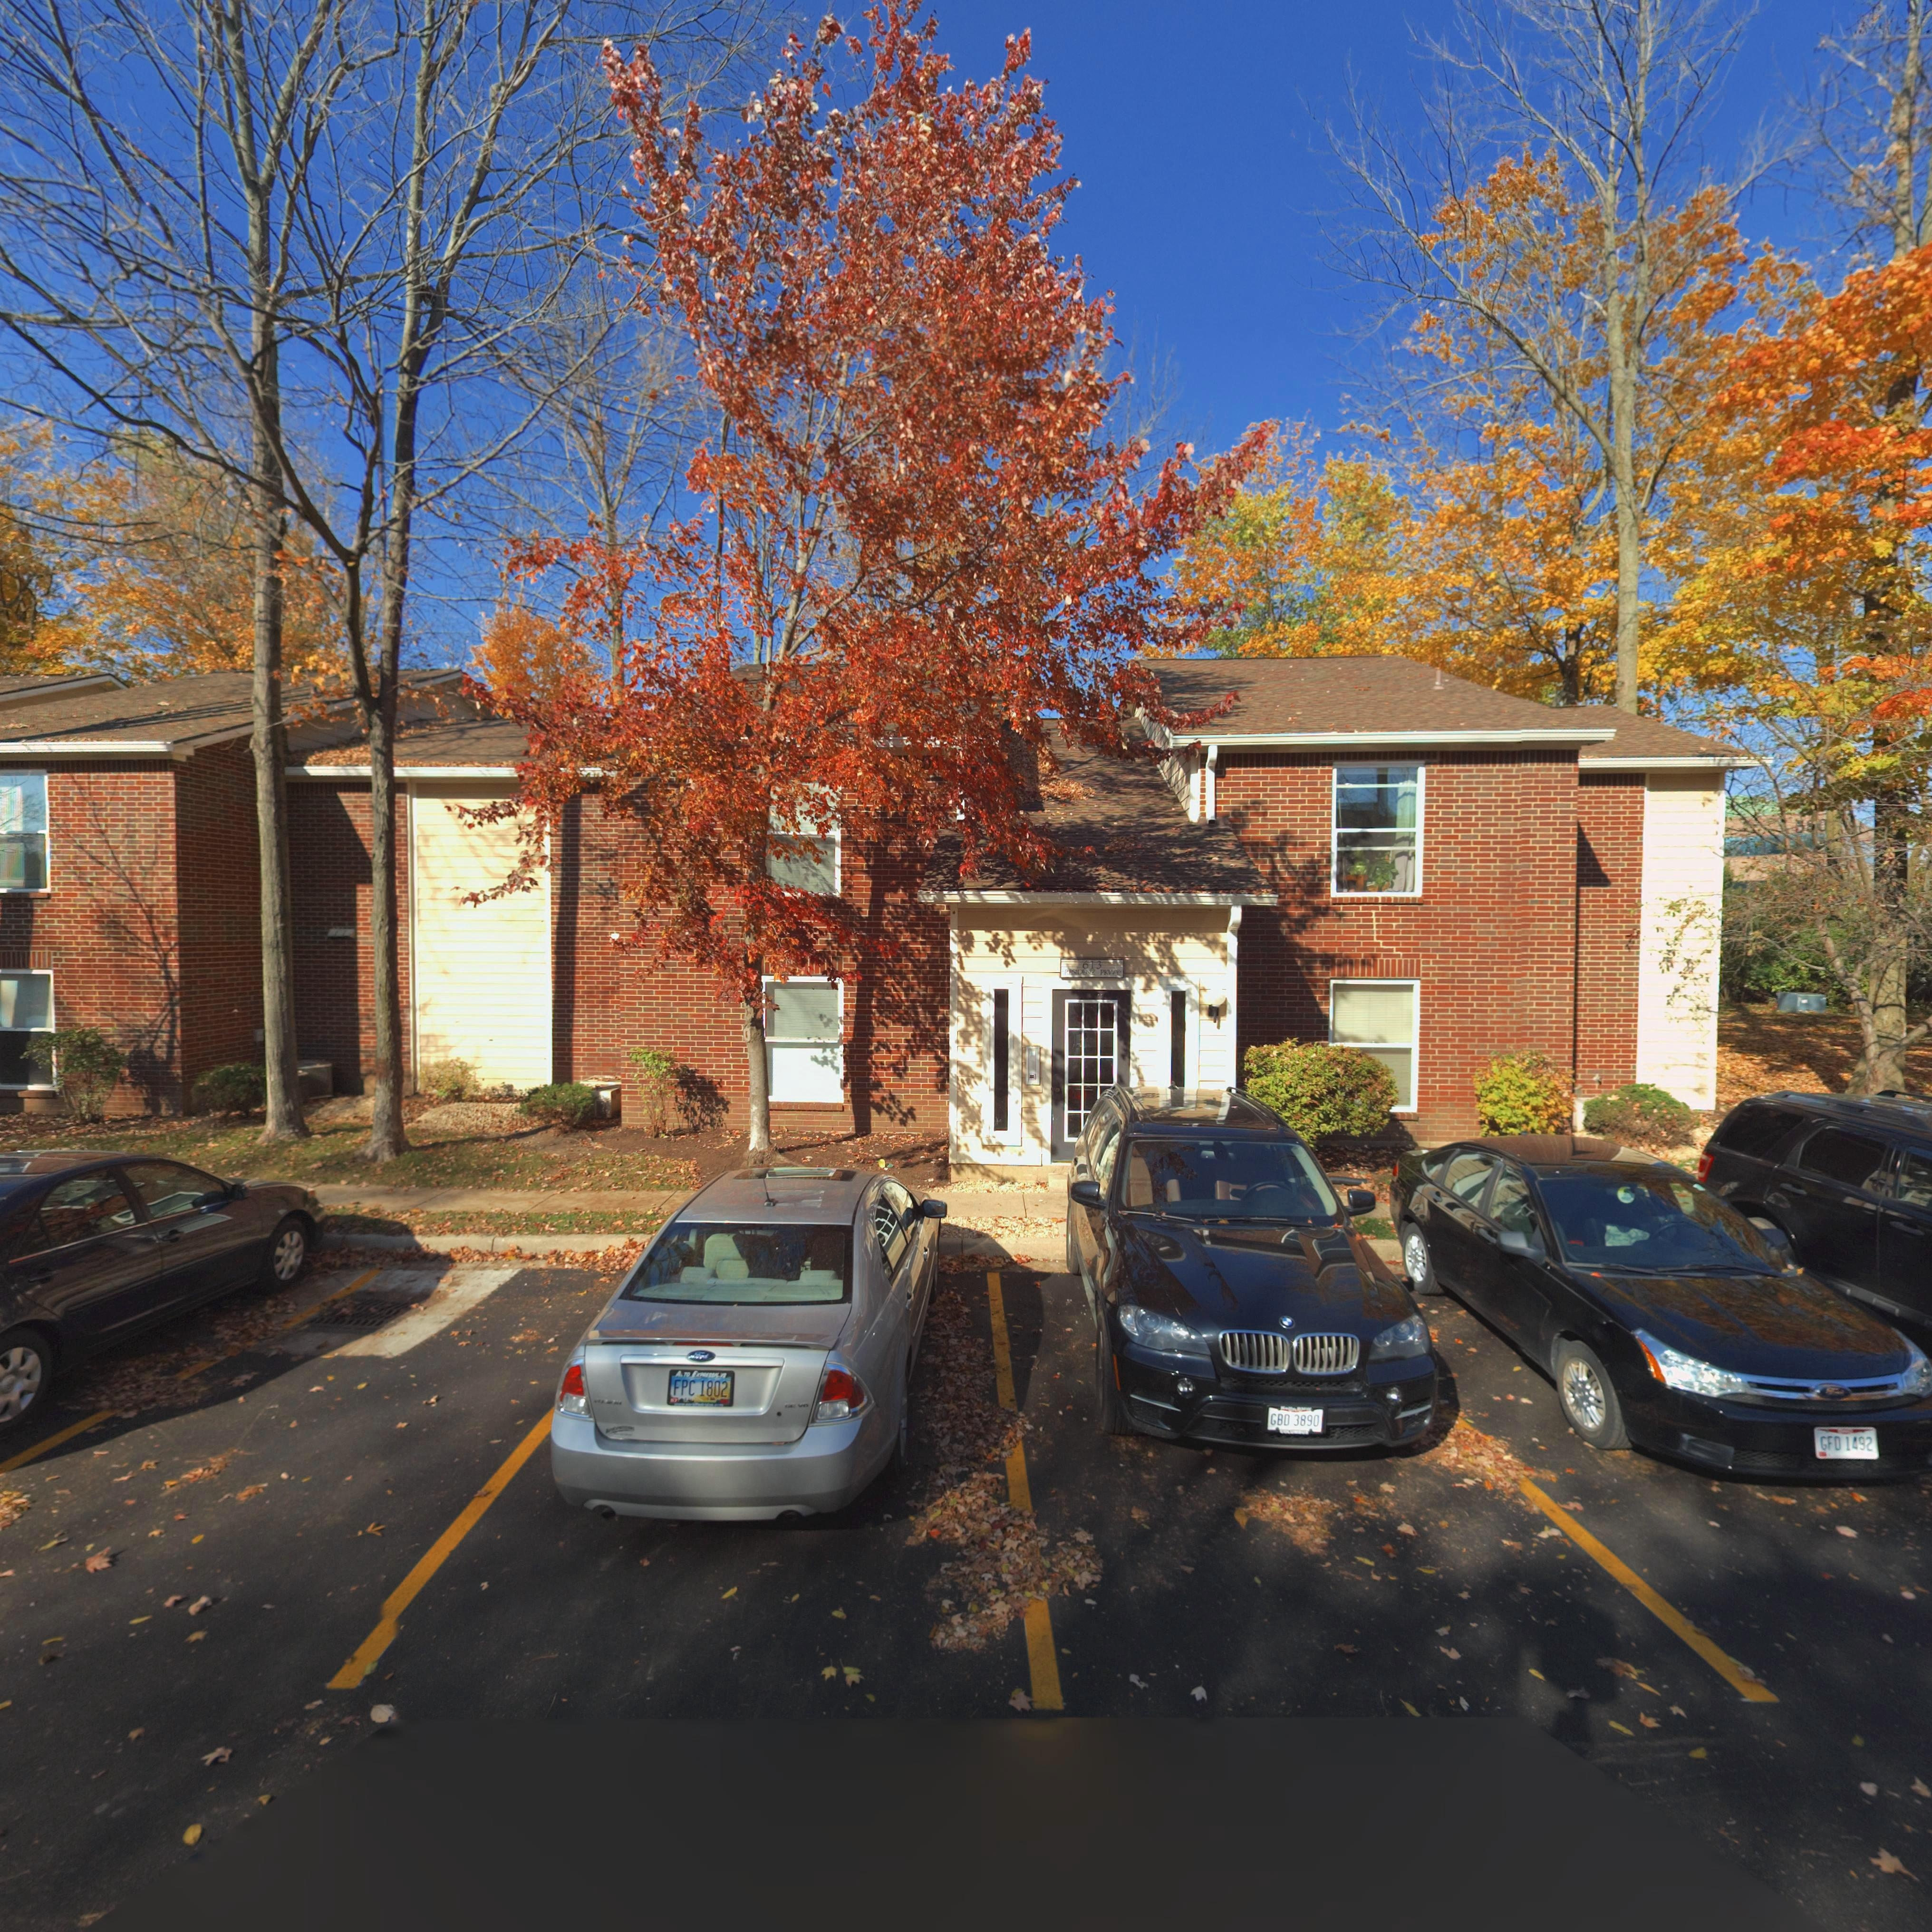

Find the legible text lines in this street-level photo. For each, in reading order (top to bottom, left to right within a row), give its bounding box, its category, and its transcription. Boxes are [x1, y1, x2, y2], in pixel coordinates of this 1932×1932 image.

[1082, 959, 1103, 970] StreetNumber: 613
[1064, 968, 1121, 976] StreetName: RESIDENZ PKWY
[672, 1378, 729, 1399] None: FPC 1802
[1269, 1412, 1320, 1428] None: GBD 3890
[1818, 1434, 1874, 1452] None: GFD 1492